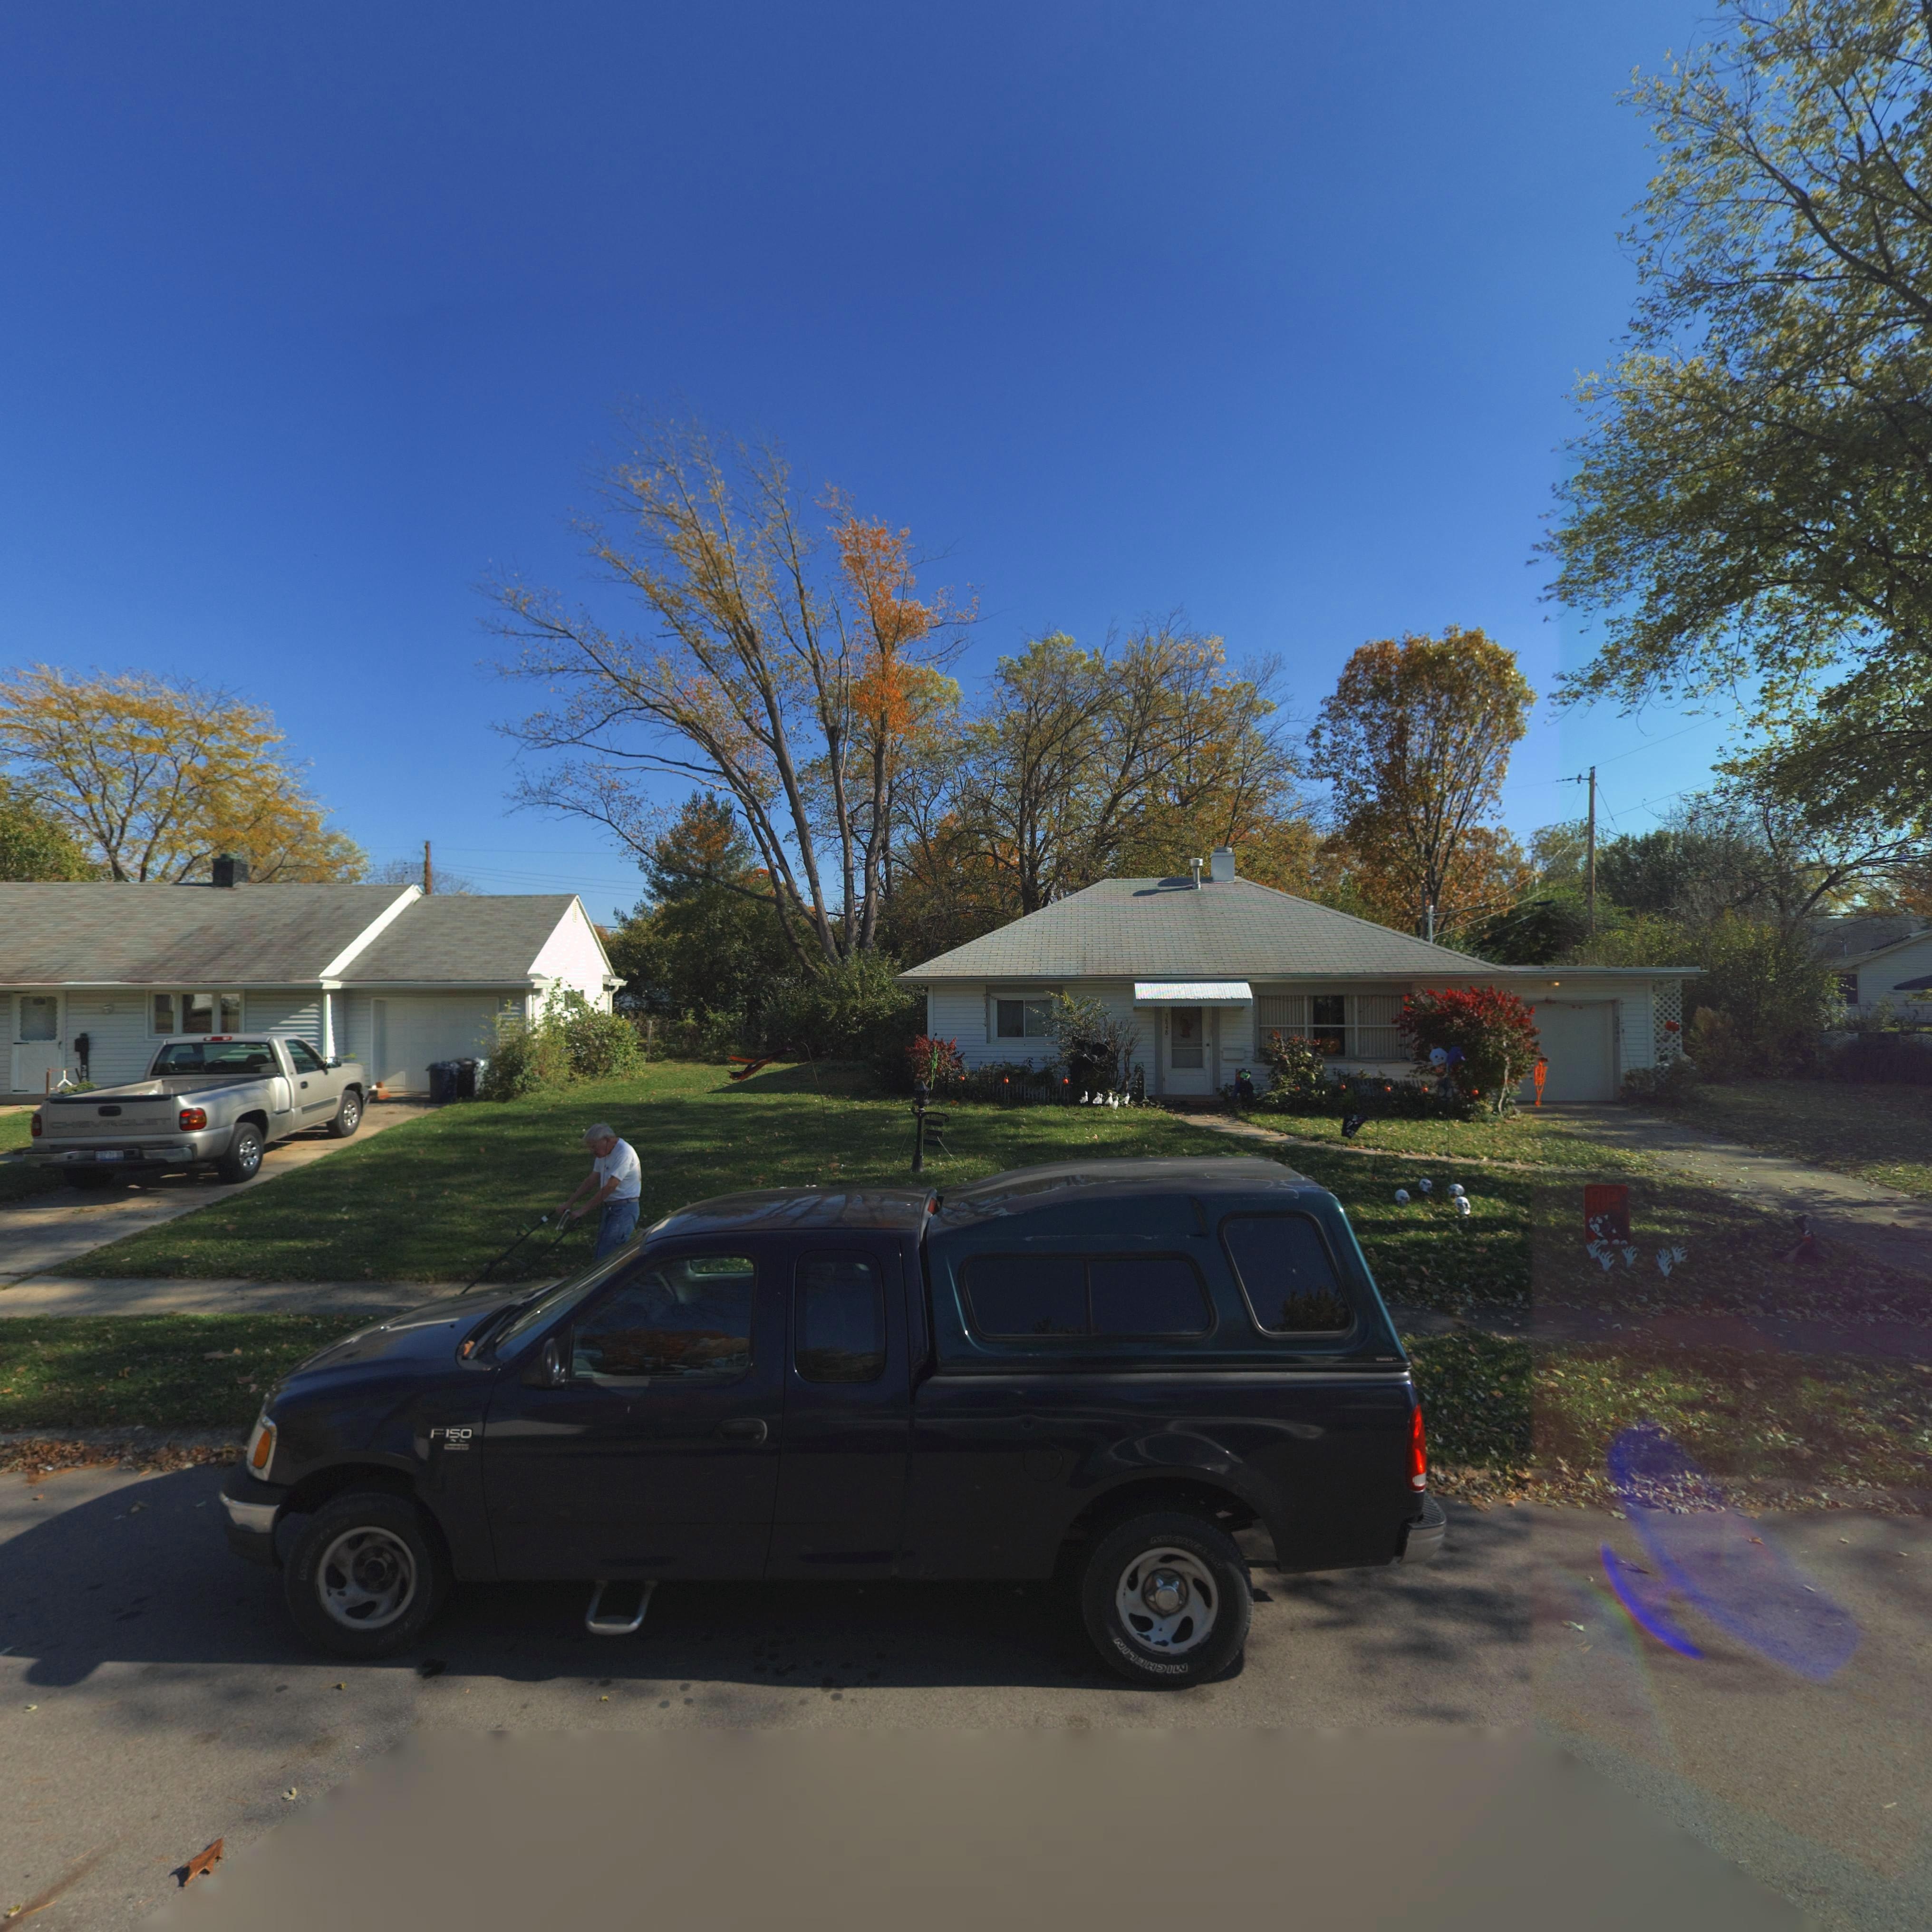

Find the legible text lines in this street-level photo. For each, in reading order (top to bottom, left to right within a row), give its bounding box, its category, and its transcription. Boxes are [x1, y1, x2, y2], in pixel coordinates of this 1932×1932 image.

[1164, 1012, 1169, 1035] StreetNumber: 3848
[1589, 1186, 1619, 1212] None: RIP
[429, 1426, 473, 1439] None: F150